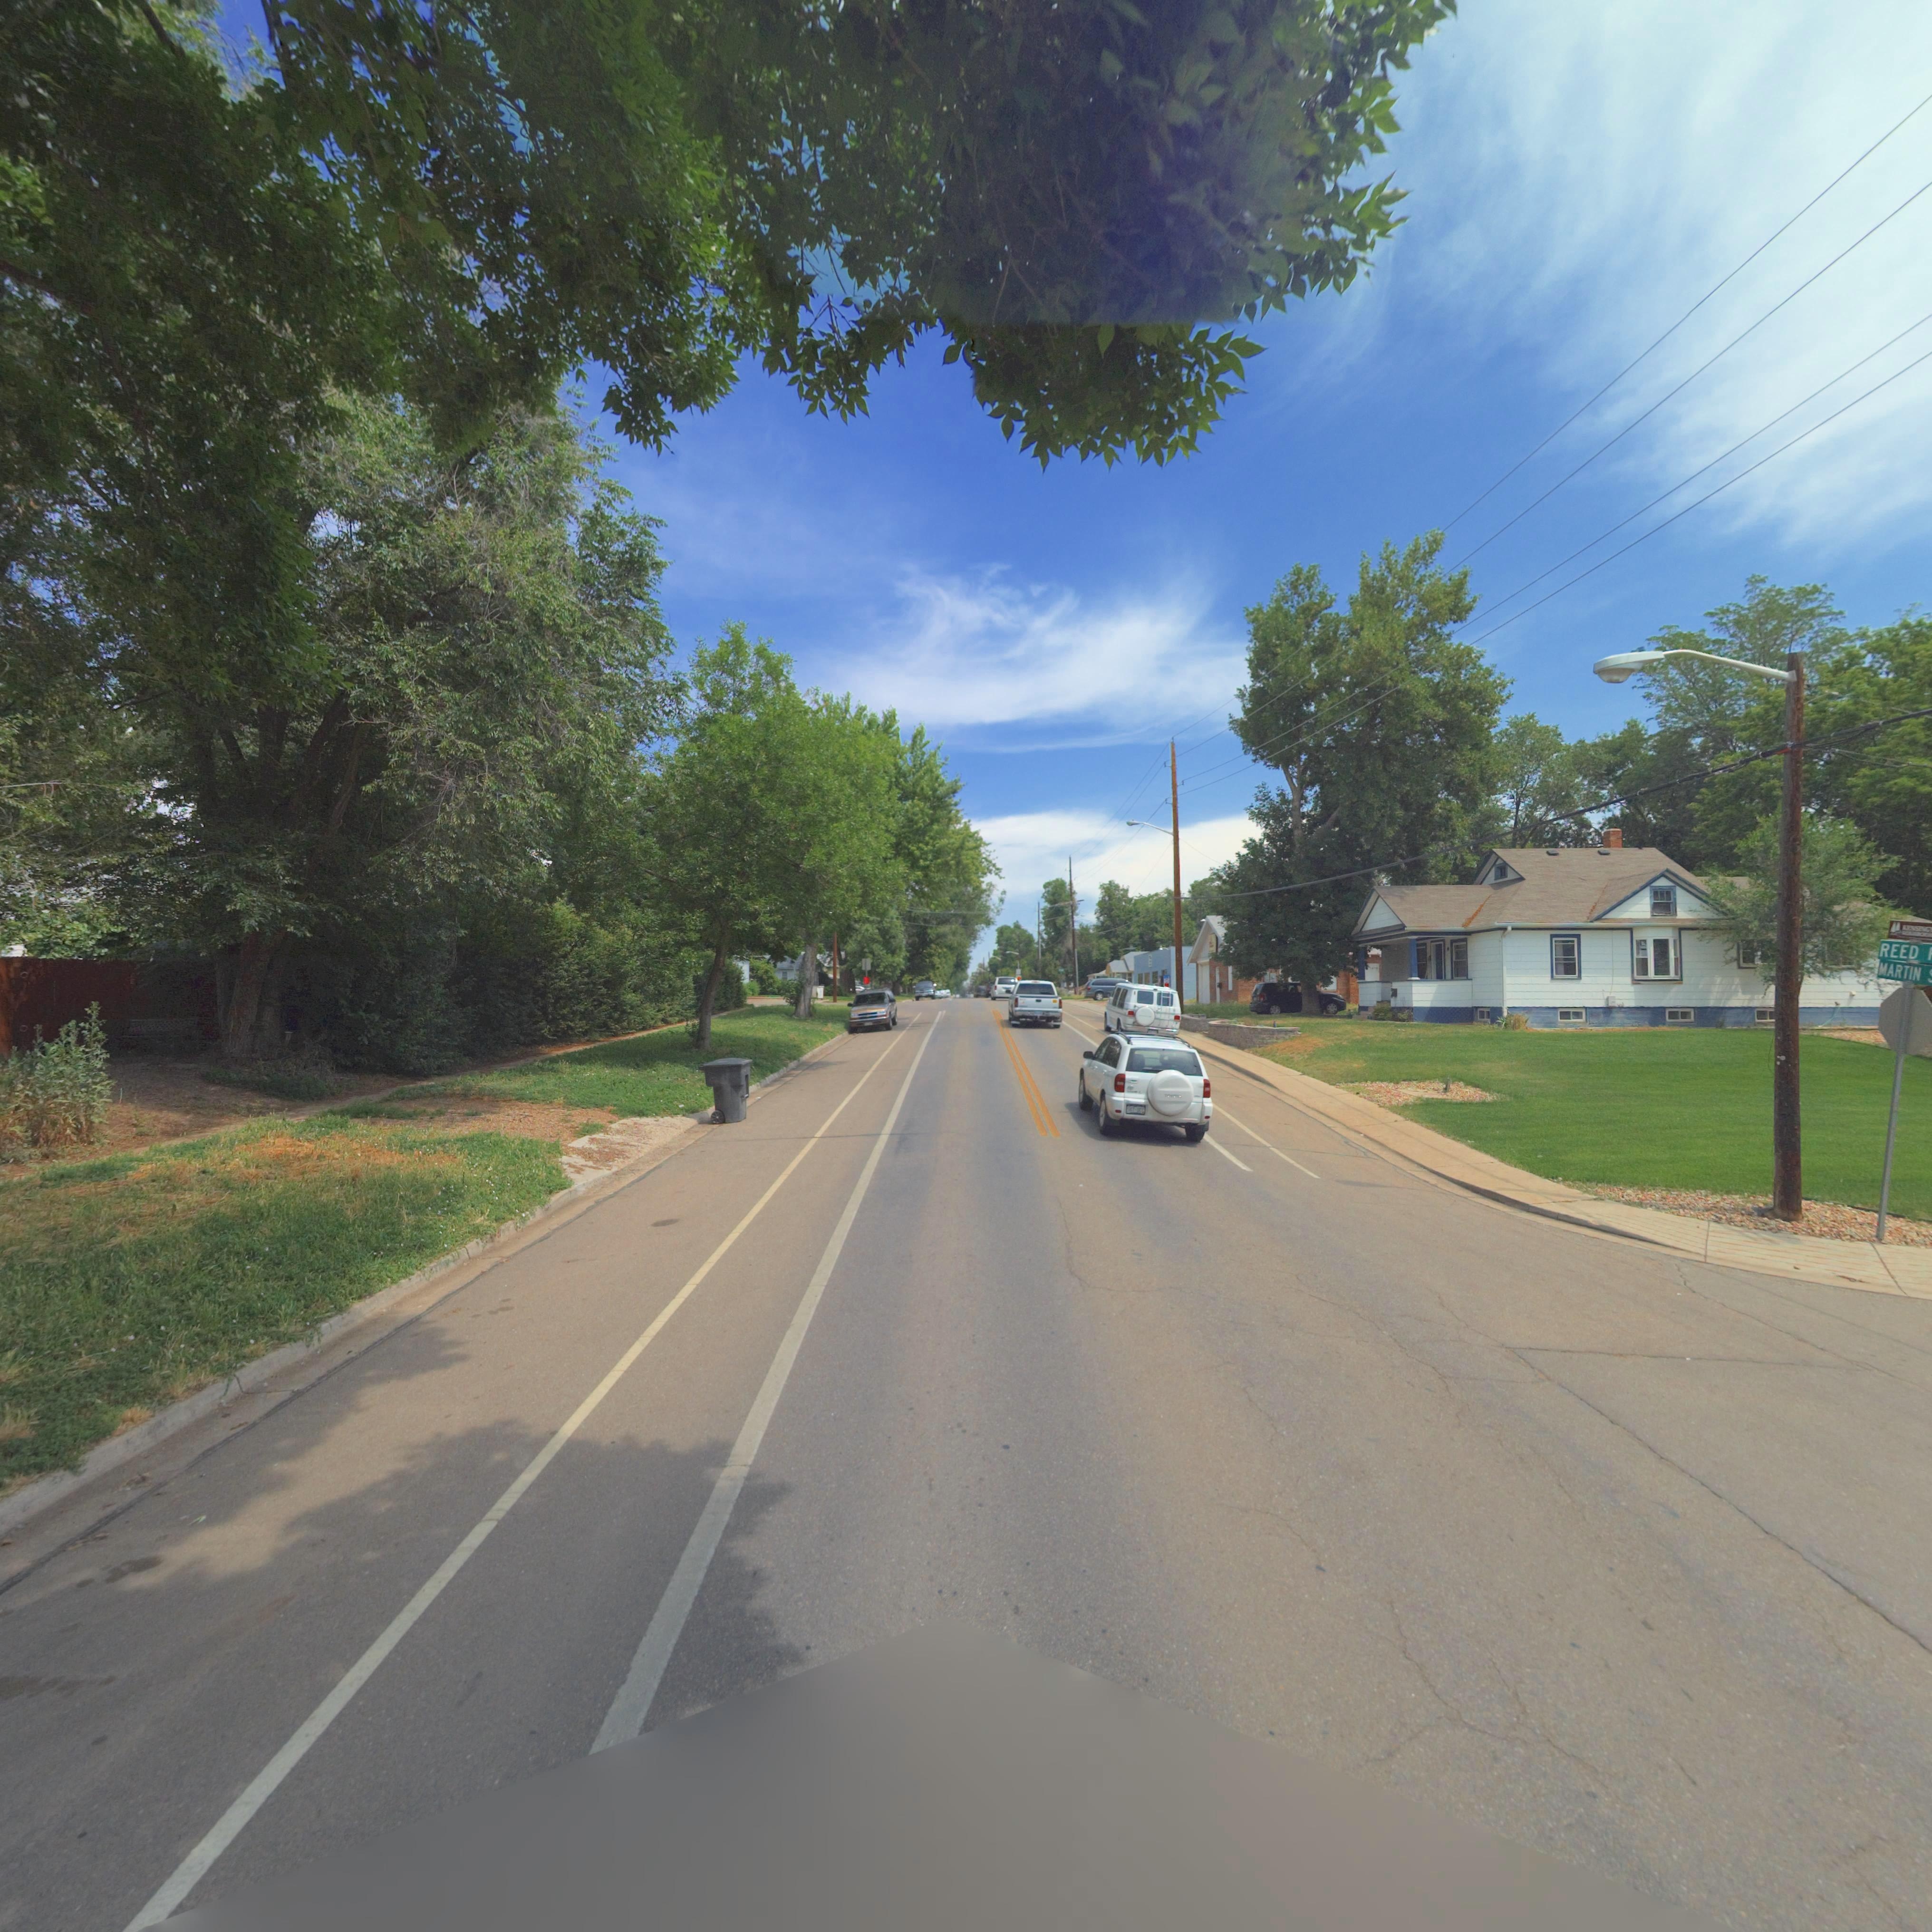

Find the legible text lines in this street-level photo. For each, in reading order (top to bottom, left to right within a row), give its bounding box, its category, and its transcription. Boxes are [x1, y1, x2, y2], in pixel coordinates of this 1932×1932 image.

[1879, 942, 1921, 959] StreetName: REED
[1875, 961, 1923, 984] StreetName: MARTIN